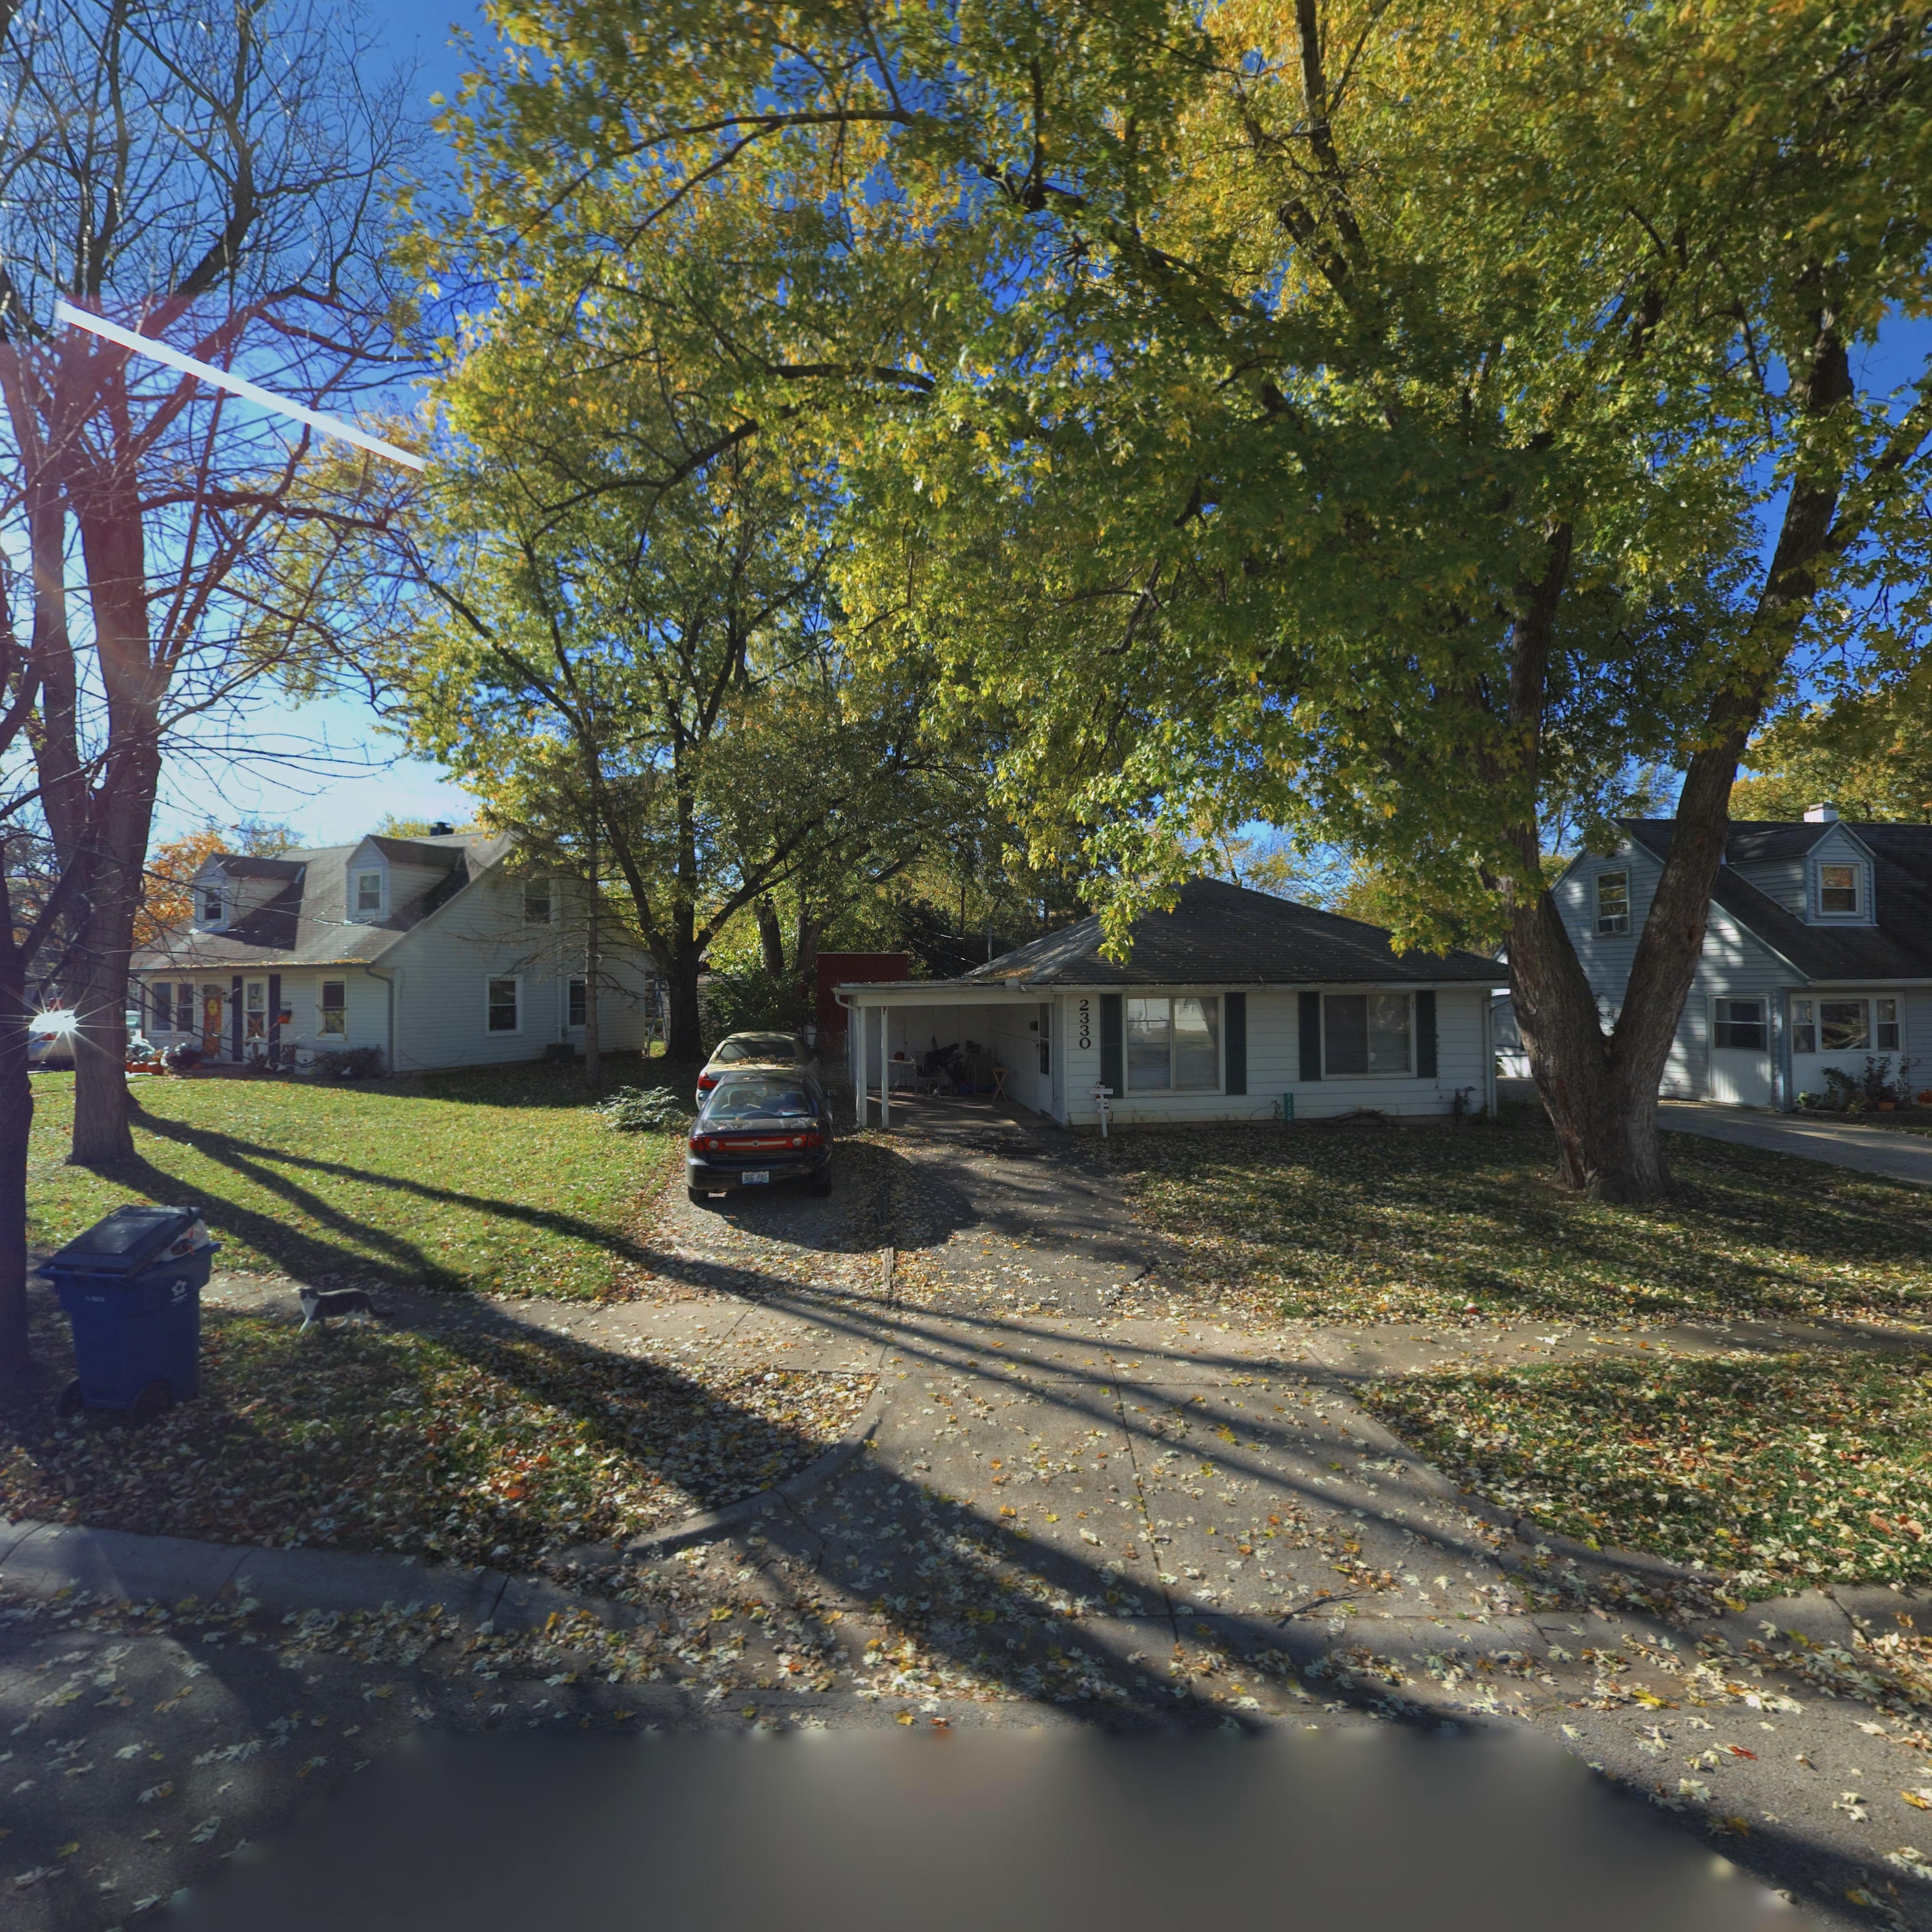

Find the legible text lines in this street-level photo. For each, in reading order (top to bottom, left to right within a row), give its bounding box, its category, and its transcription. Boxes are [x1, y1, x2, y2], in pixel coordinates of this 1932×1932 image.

[1078, 998, 1093, 1051] StreetNumber: 2330
[1286, 1093, 1292, 1122] StreetNumber: 2330